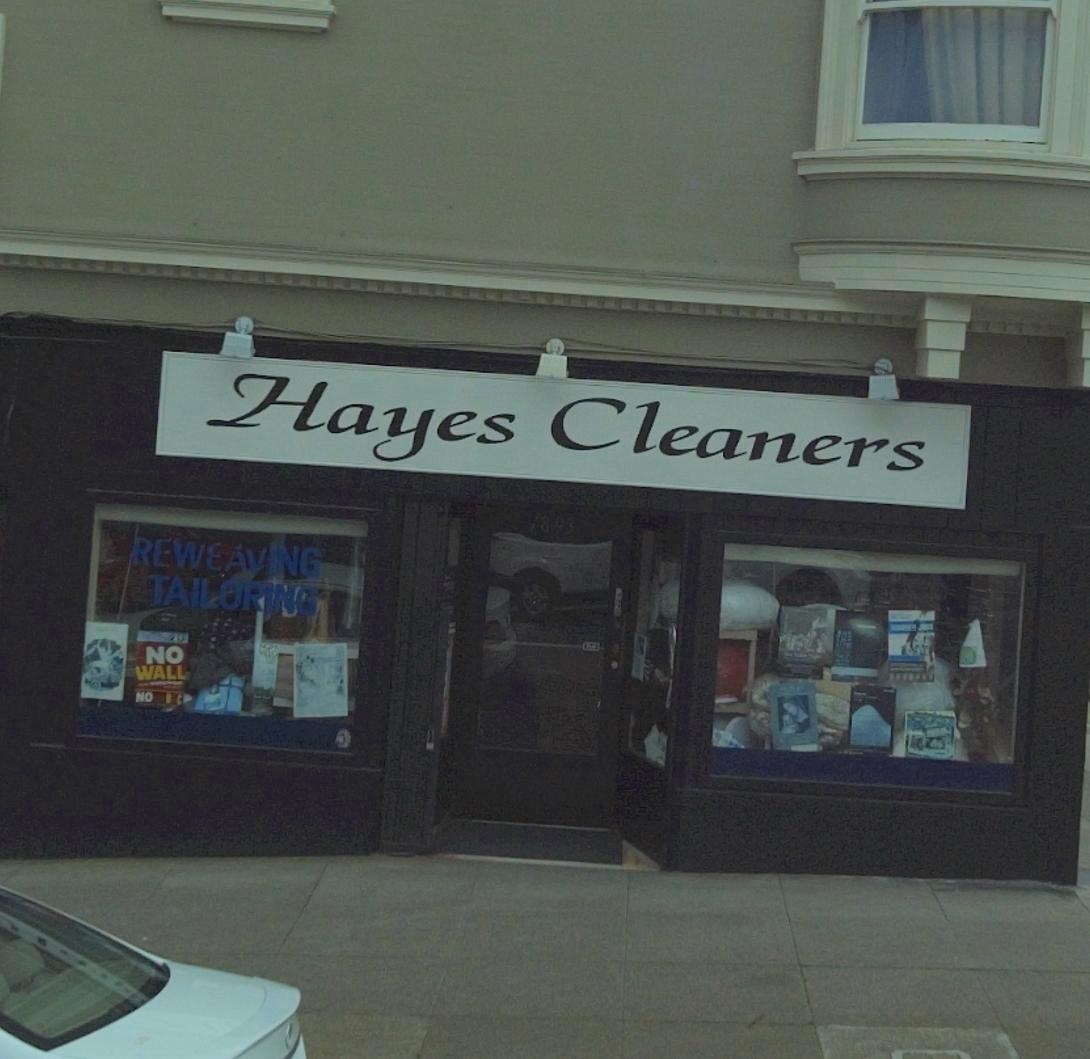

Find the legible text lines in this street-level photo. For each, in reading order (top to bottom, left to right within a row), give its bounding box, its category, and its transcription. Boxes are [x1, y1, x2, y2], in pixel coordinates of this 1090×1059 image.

[200, 372, 928, 475] BusinessName: Hayes Cleaners
[529, 513, 578, 537] StreetNumber: 1893
[131, 533, 322, 582] None: REWEAVING
[143, 572, 320, 619] None: TAILORING
[144, 644, 187, 666] None: NO
[132, 662, 190, 683] None: WALL
[133, 690, 156, 704] None: NO